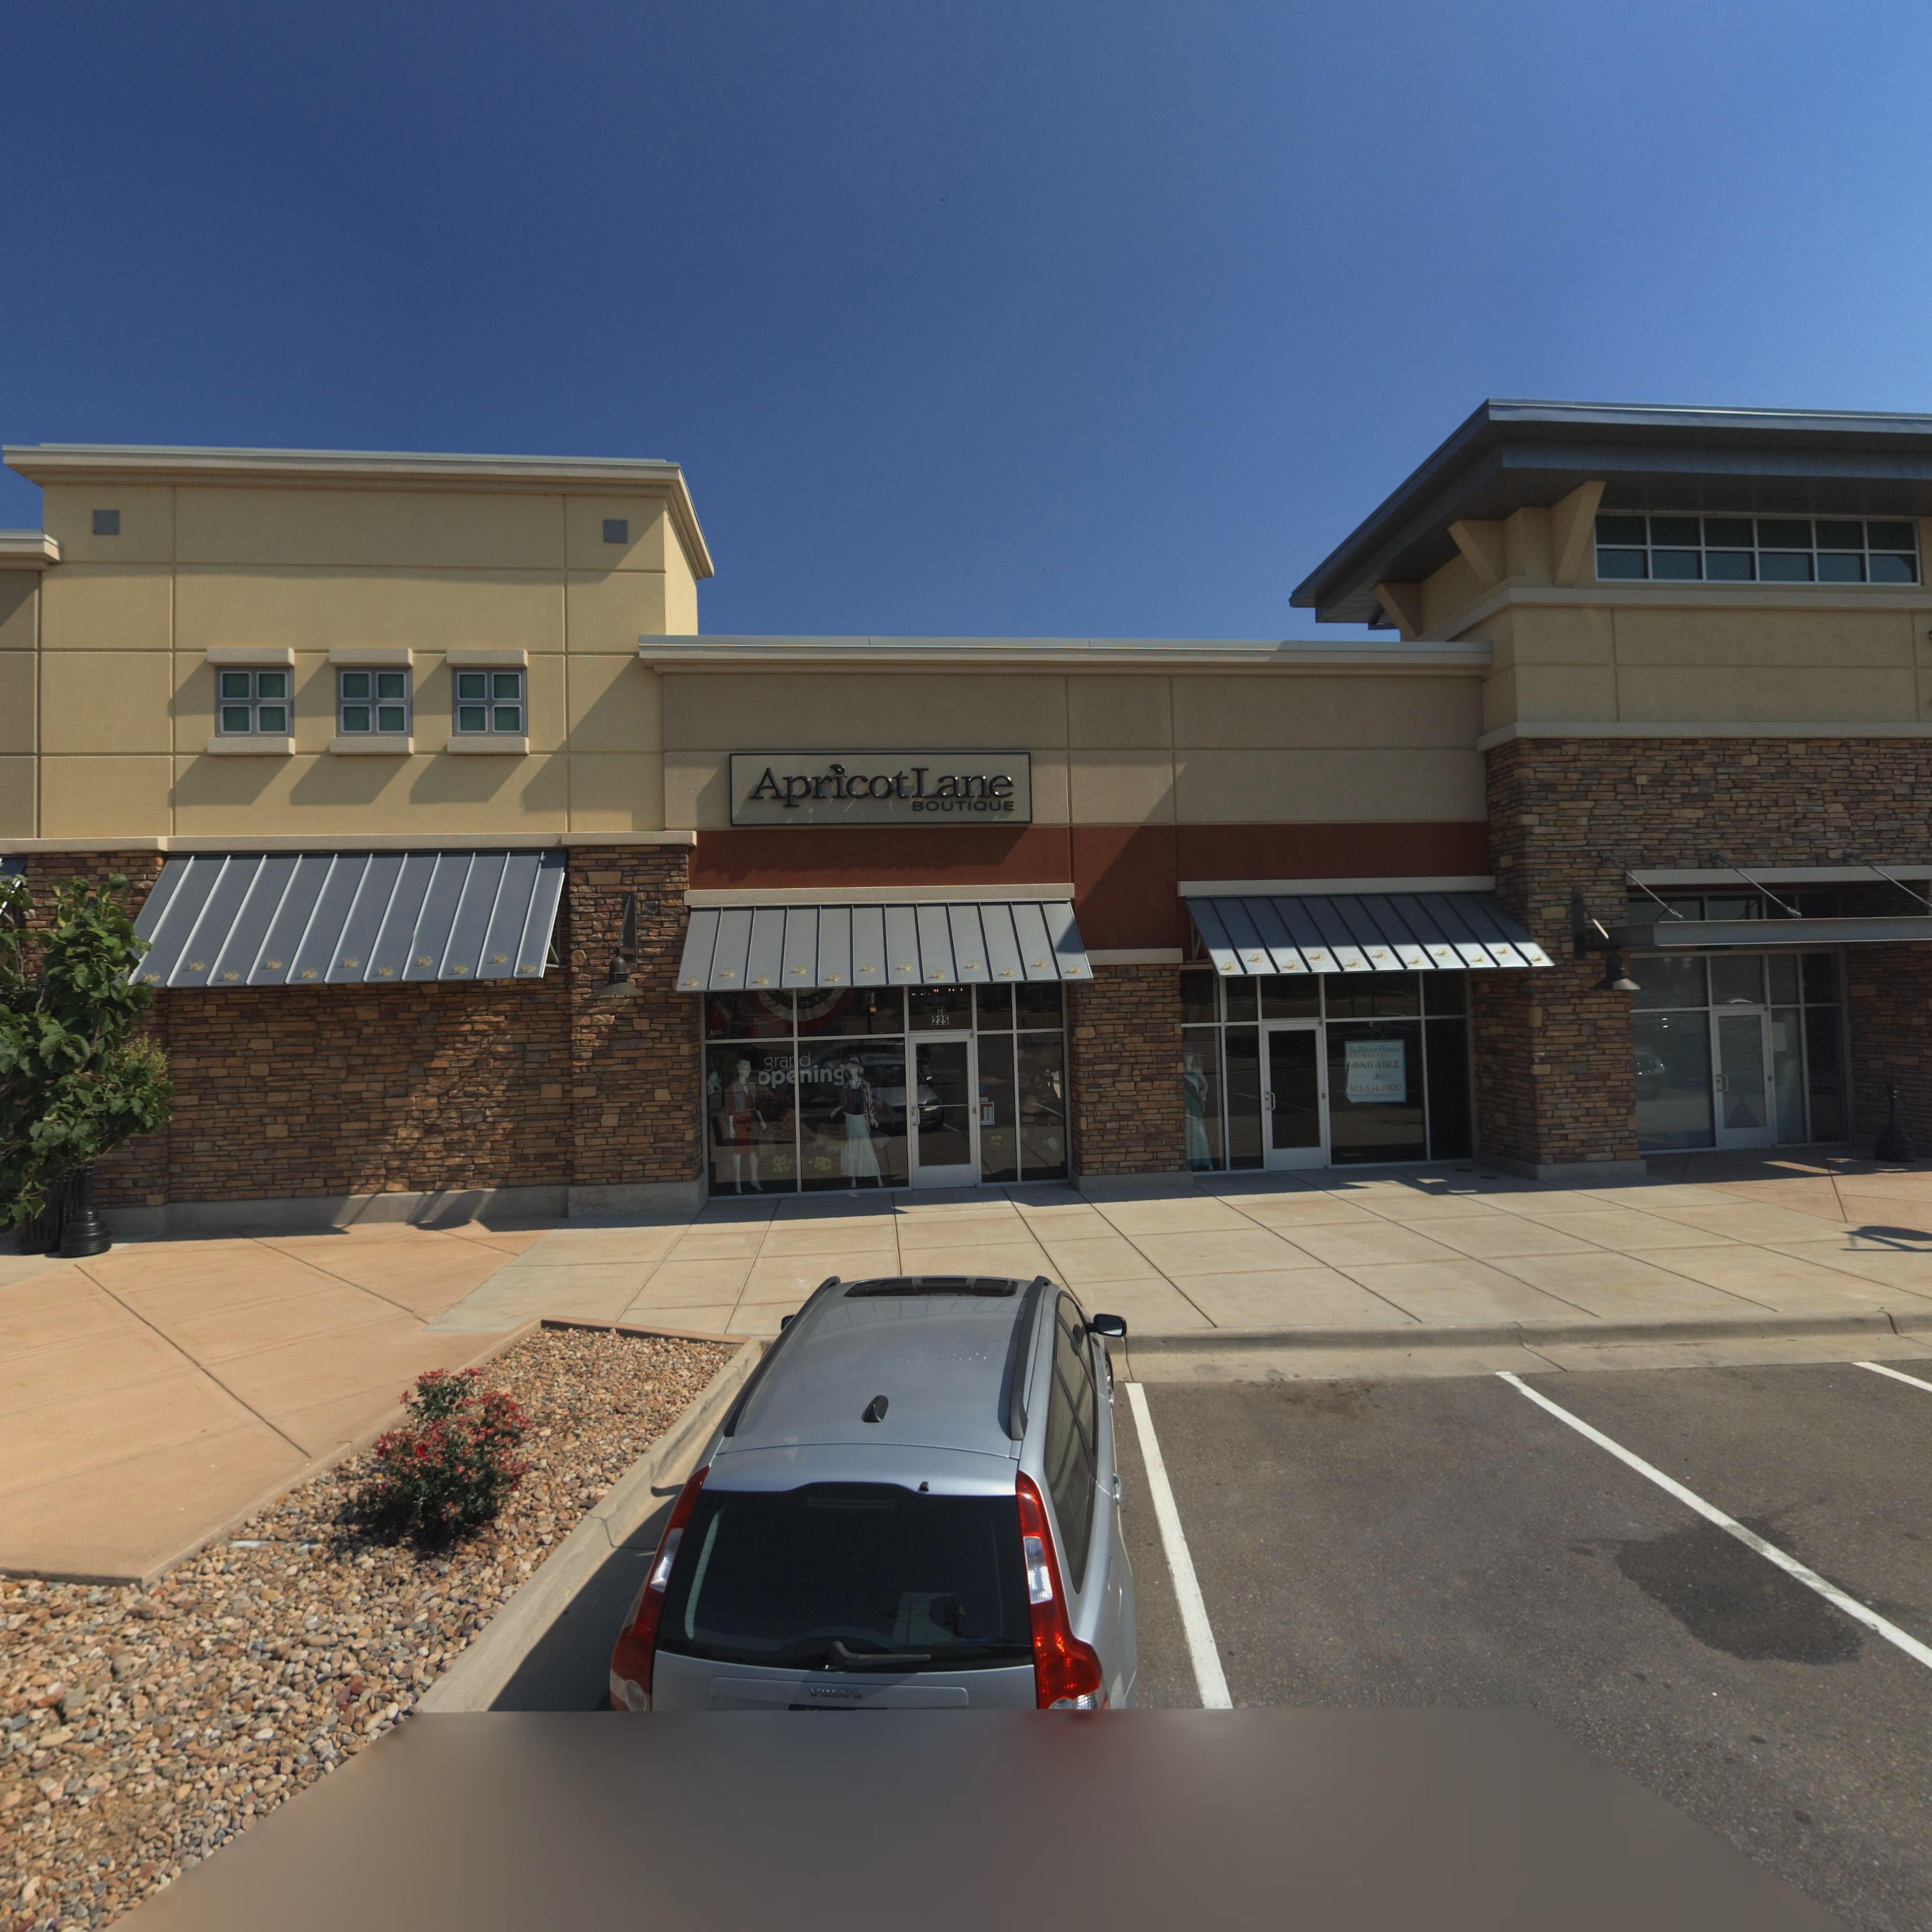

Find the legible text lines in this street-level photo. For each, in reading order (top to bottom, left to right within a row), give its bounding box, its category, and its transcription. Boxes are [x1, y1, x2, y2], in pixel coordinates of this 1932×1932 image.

[746, 763, 1017, 809] BusinessName: ApricotLane
[912, 801, 1014, 811] BusinessName: BOUTIQUE
[938, 1010, 942, 1015] StreetNumber: B
[932, 1016, 948, 1024] StreetNumber: 225
[924, 1068, 960, 1075] BusinessName: ApricotLan*